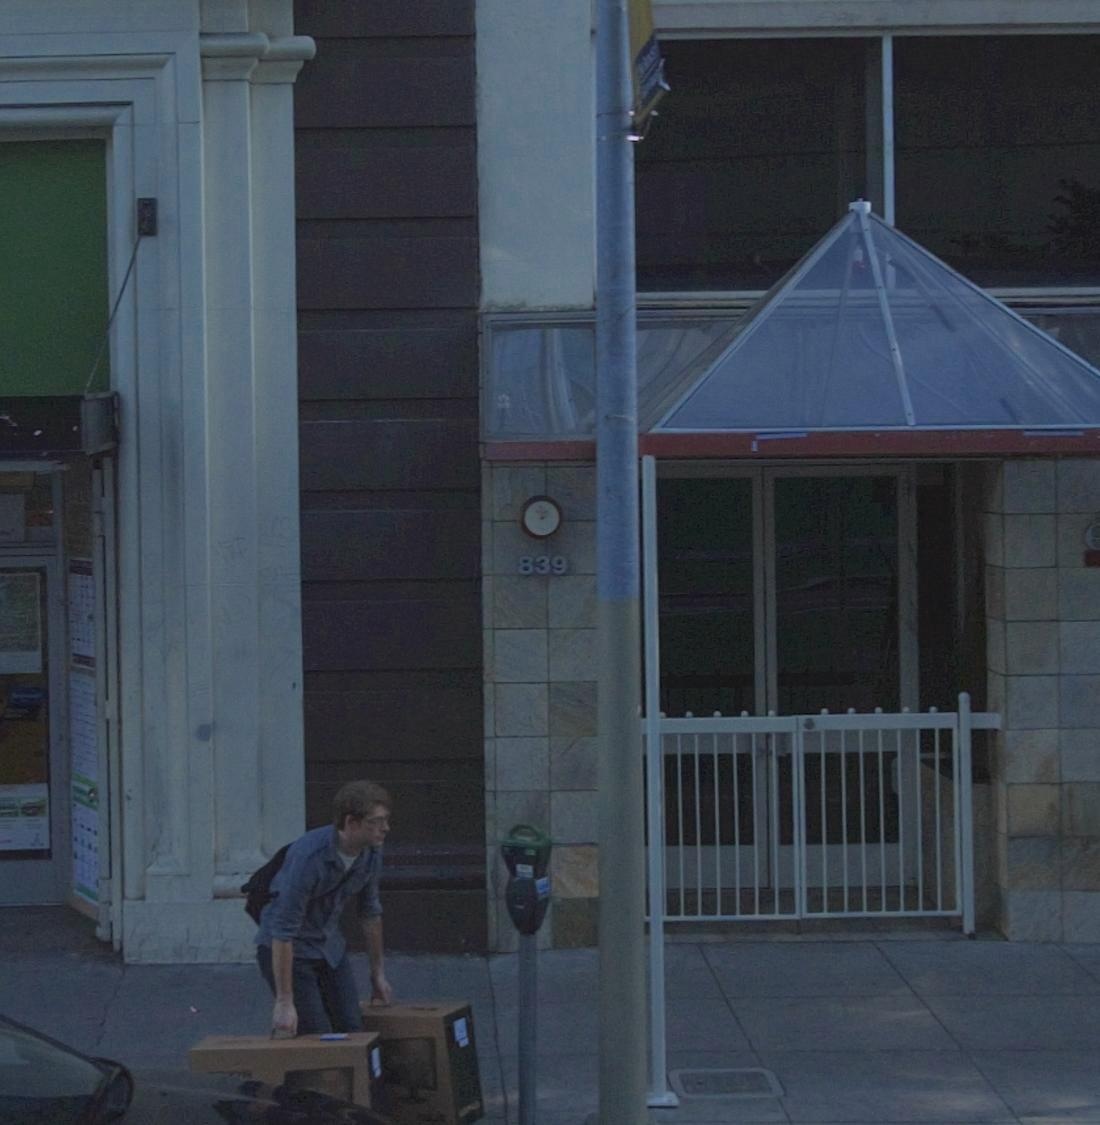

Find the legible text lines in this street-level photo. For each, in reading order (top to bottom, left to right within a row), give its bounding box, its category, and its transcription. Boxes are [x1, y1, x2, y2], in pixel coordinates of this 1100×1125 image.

[516, 554, 569, 577] StreetNumber: 839